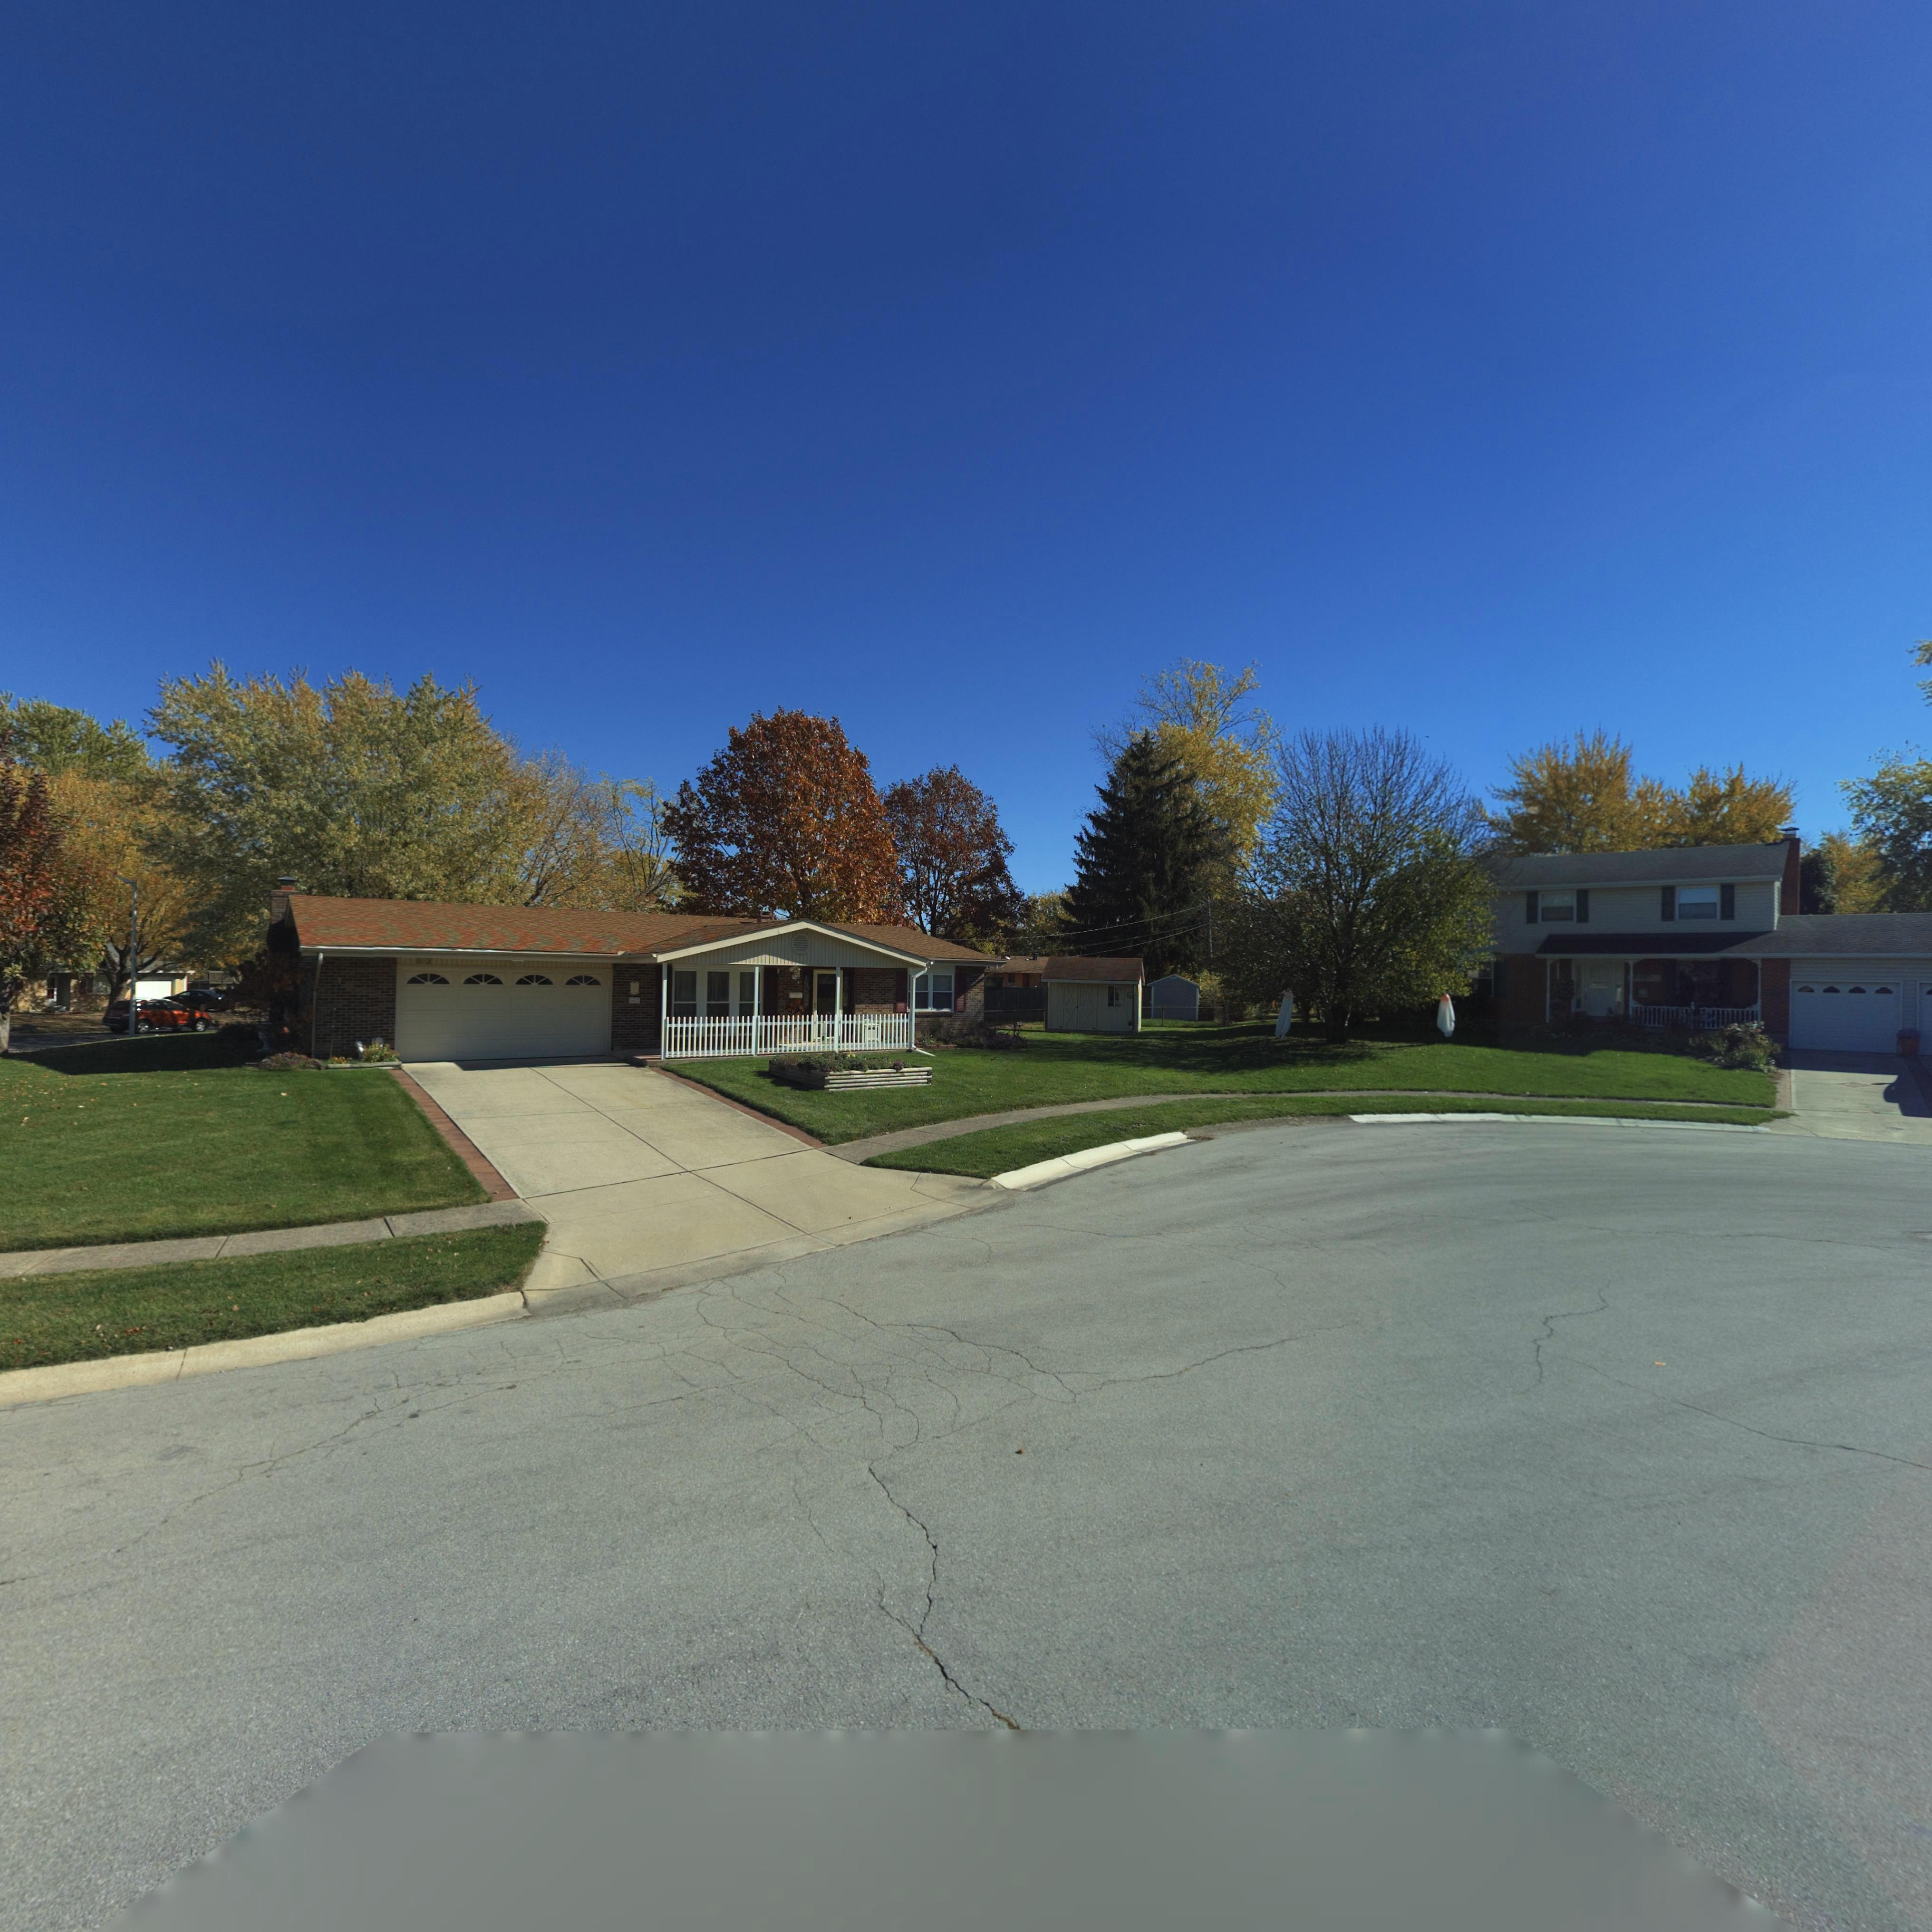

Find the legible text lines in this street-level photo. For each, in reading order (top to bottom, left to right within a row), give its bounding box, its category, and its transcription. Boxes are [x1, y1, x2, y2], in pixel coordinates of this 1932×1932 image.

[415, 957, 431, 964] StreetNumber: 602
[629, 998, 639, 1003] StreetNumber: 6*2